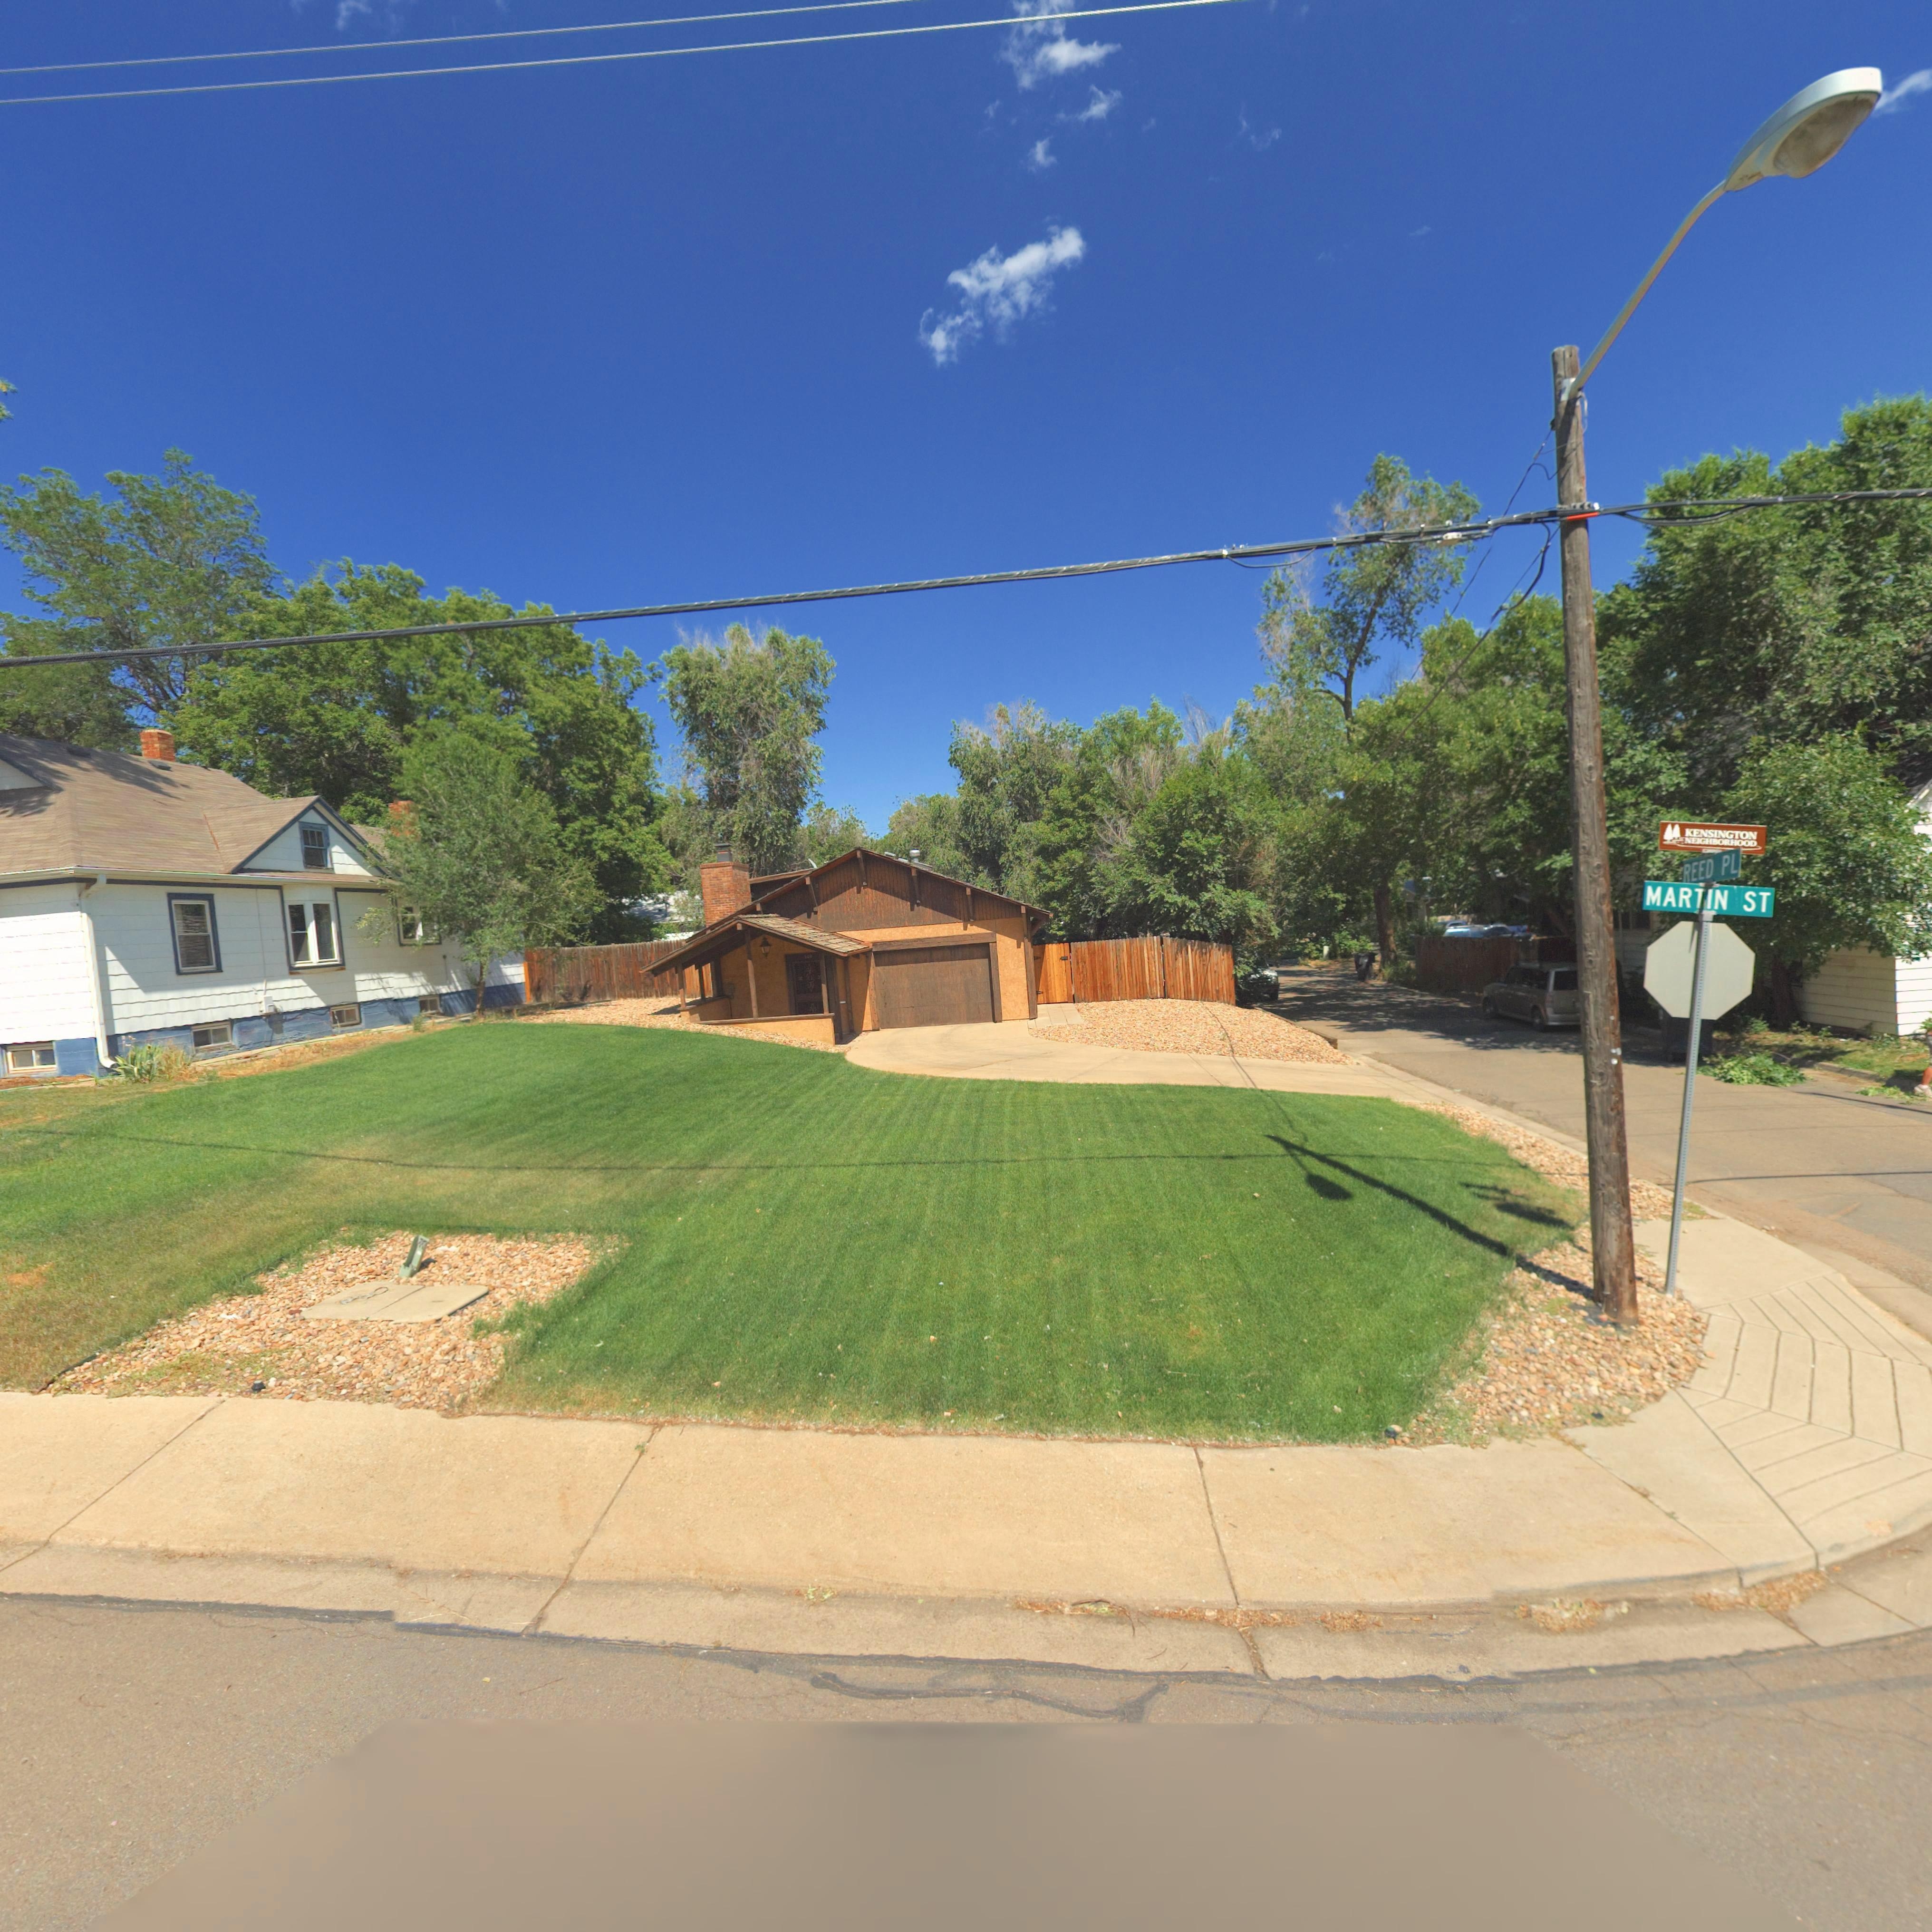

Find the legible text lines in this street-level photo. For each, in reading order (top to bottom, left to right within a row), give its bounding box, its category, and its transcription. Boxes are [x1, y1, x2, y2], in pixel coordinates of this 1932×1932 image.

[1683, 852, 1738, 883] StreetName: REED PL
[1644, 884, 1770, 913] StreetName: MATIN ST
[803, 953, 812, 958] StreetNumber: 140